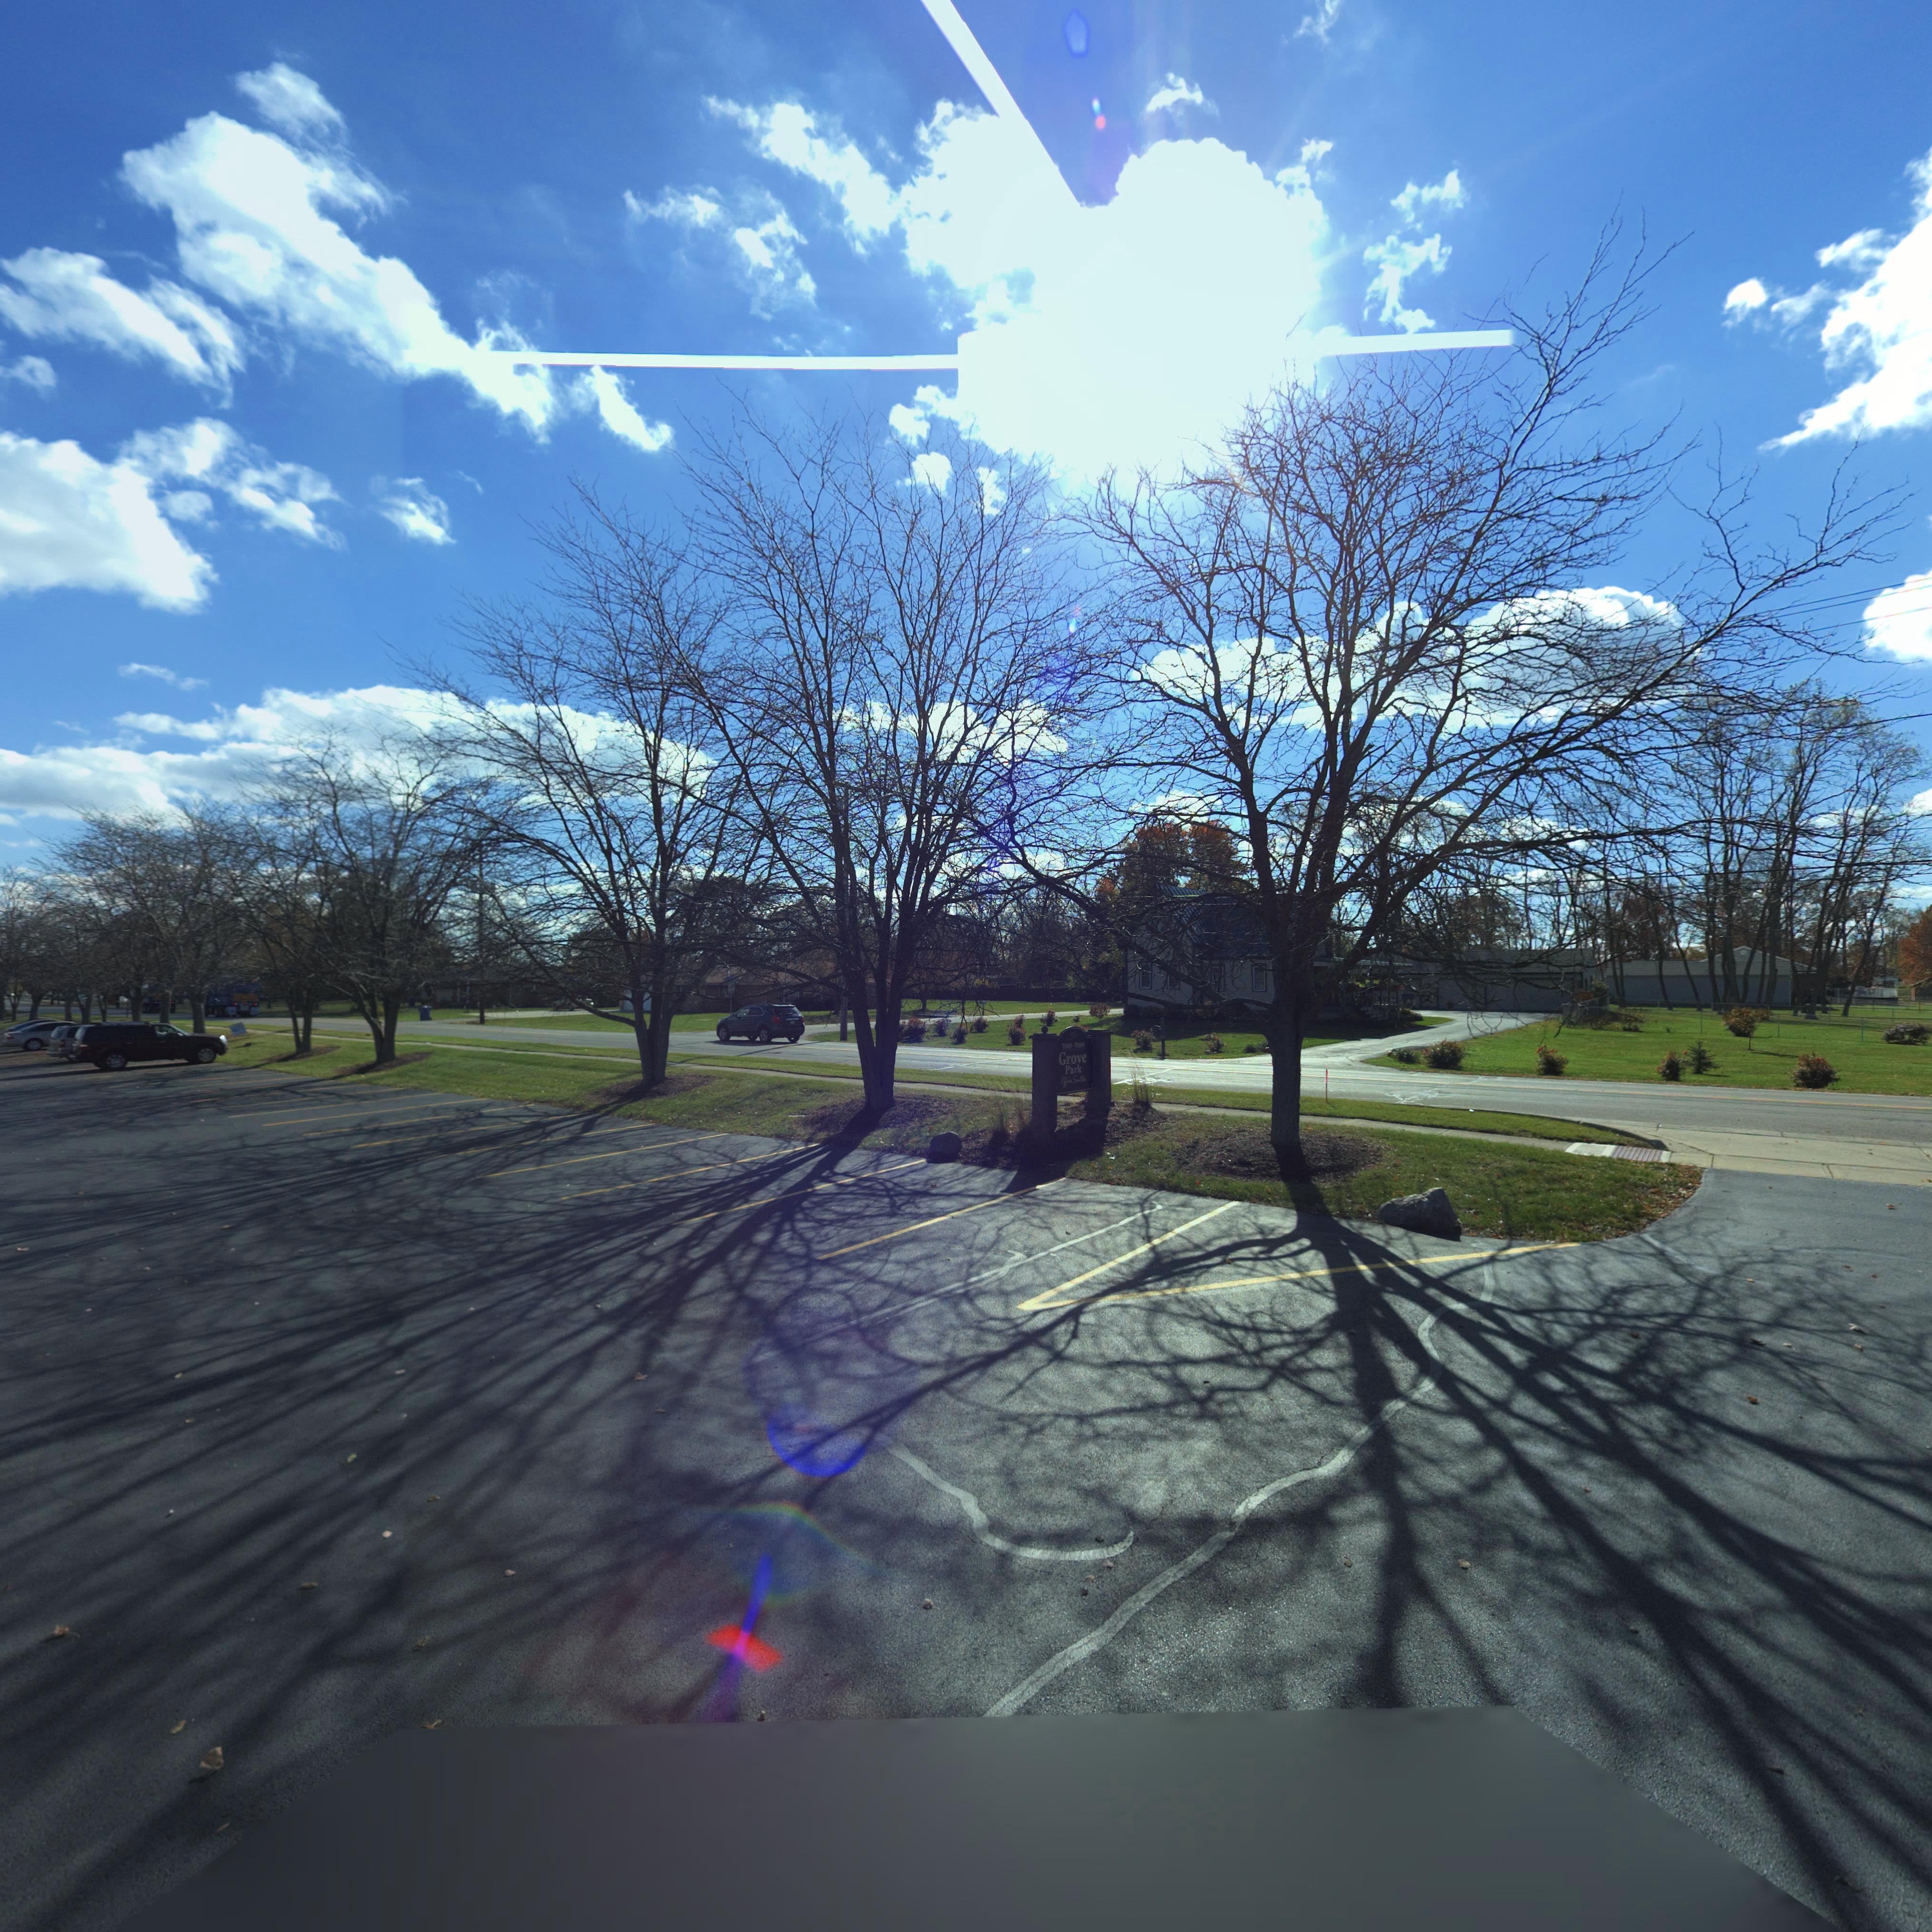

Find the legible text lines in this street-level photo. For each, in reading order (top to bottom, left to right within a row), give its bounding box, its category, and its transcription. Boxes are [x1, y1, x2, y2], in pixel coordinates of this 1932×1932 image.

[1061, 1042, 1073, 1052] StreetNumber: 7009
[1073, 1041, 1086, 1050] StreetNumber: 7***